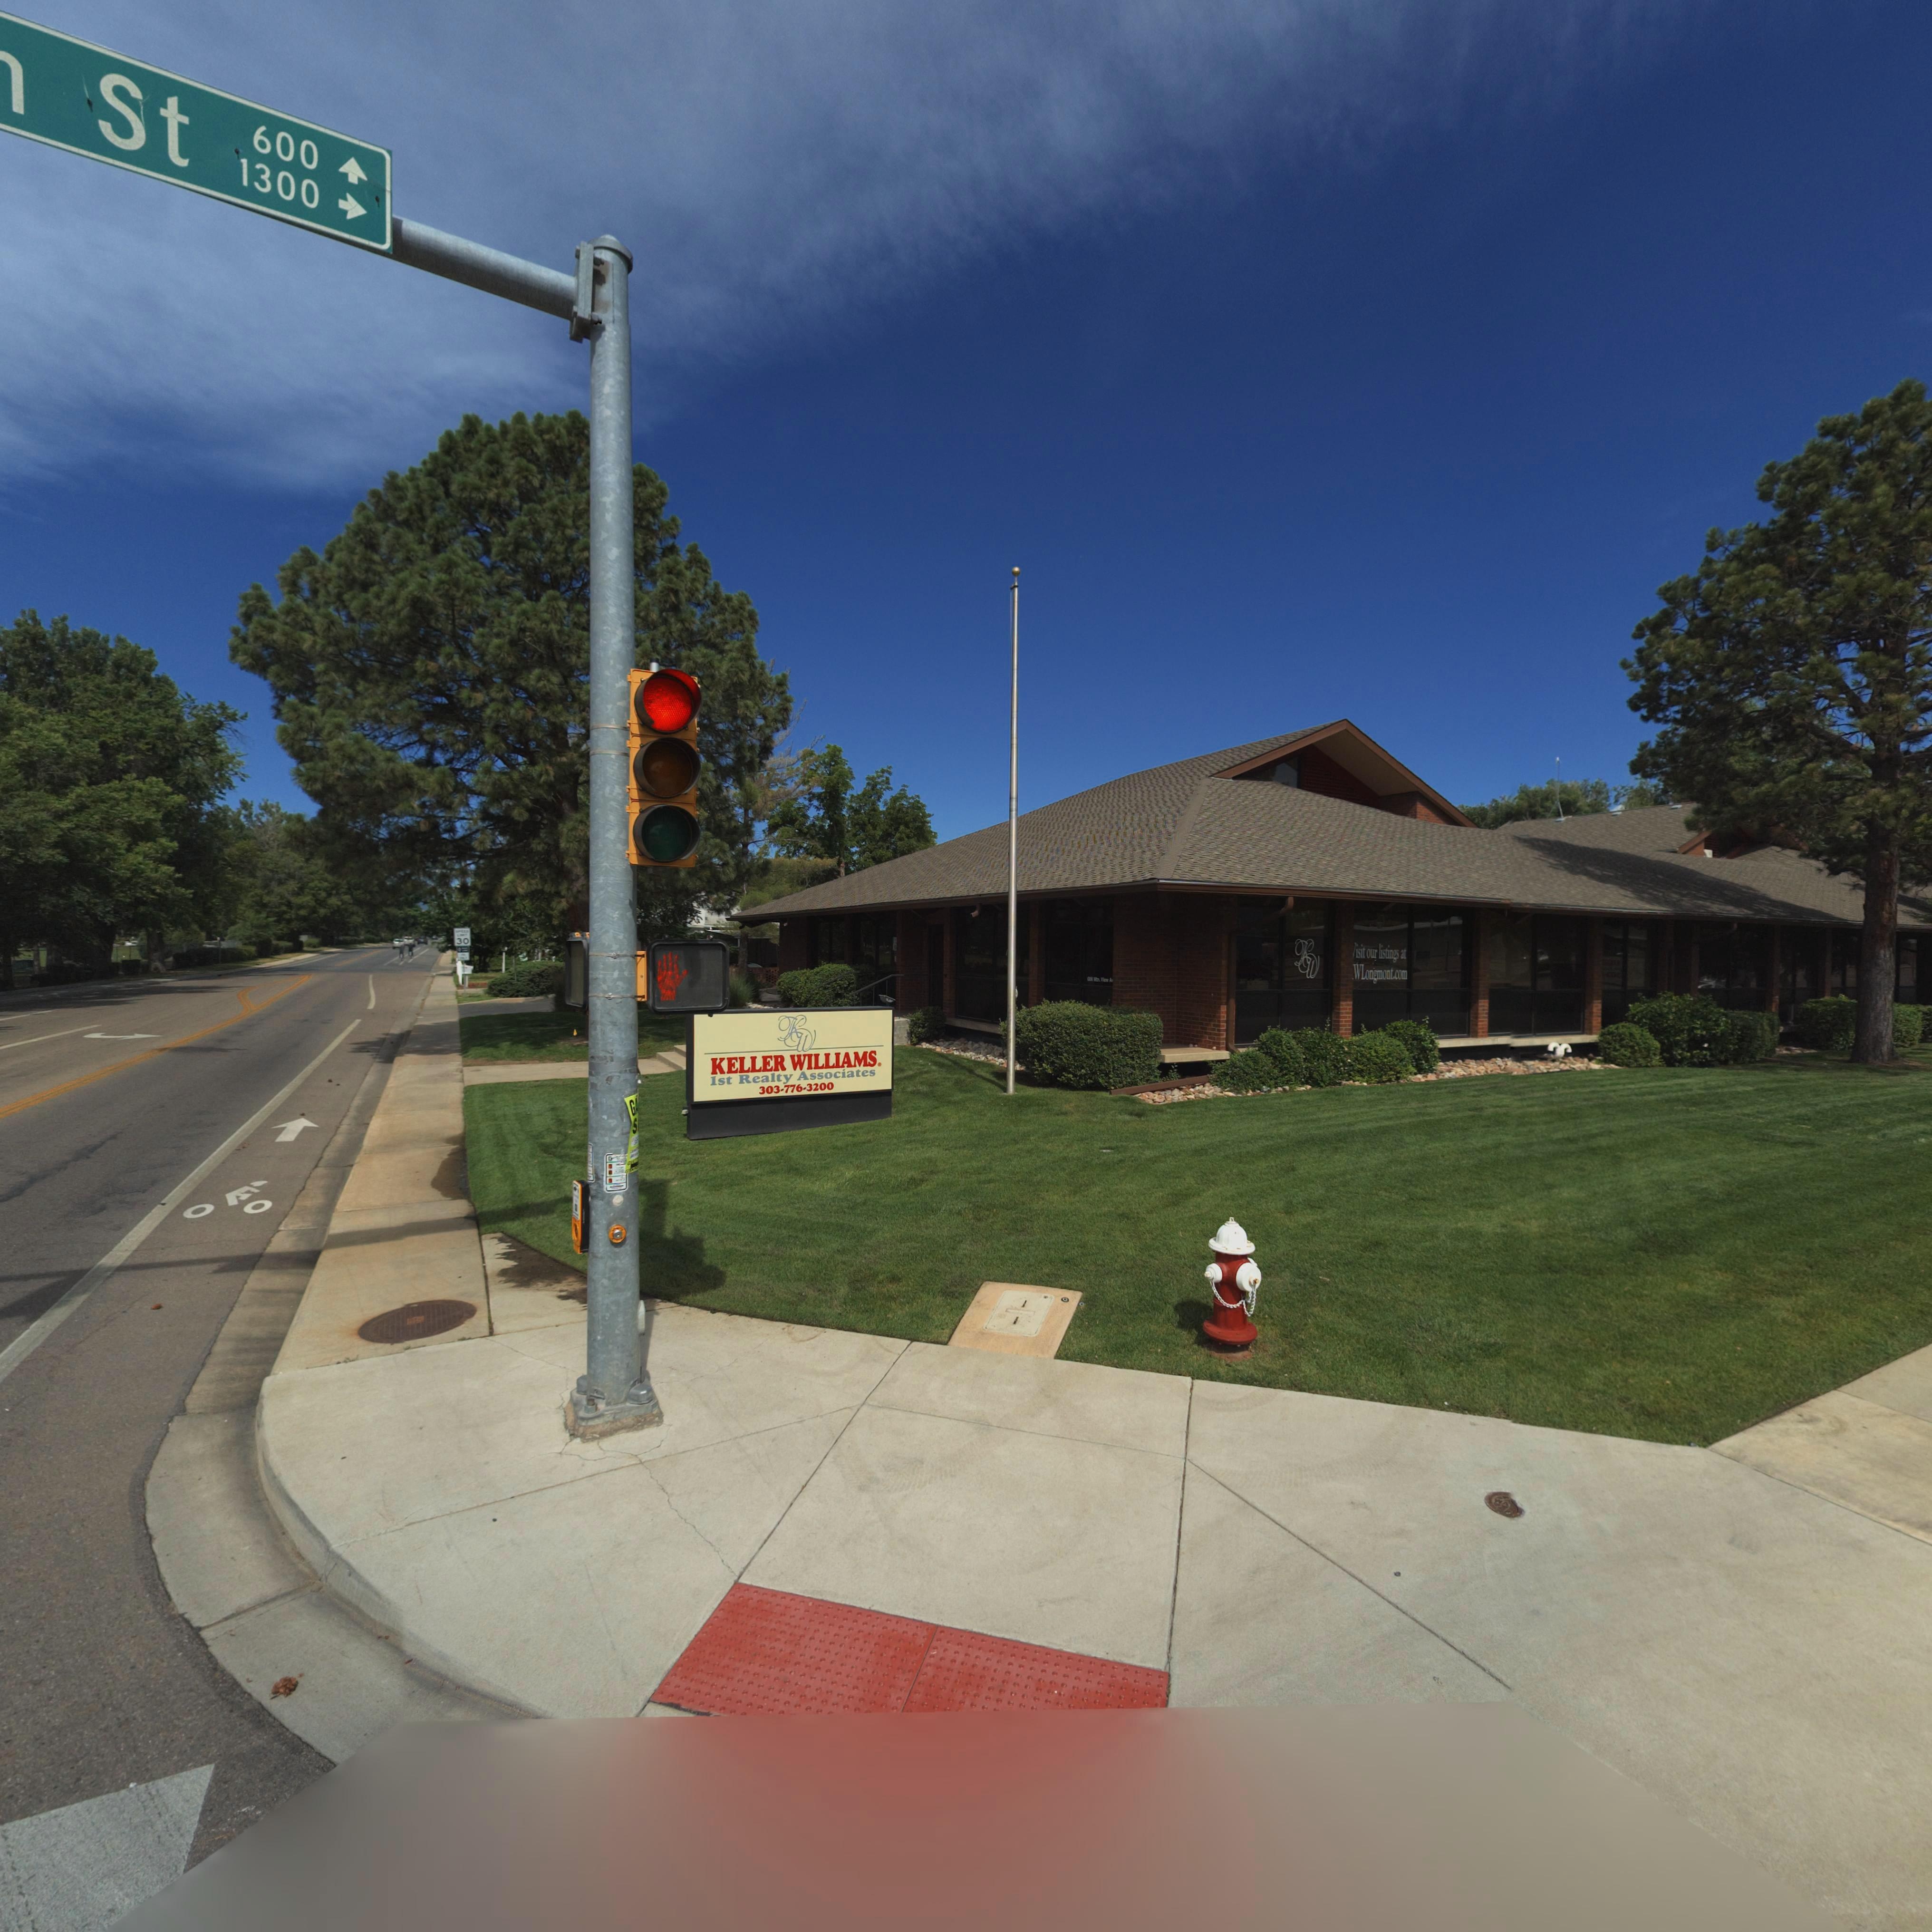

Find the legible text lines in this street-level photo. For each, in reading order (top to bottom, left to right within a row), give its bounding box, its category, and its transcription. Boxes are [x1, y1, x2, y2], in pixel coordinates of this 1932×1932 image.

[97, 71, 189, 167] StreetName: St
[252, 125, 319, 170] StreetNumberRange: 600
[239, 157, 368, 220] StreetNumberRange: 1300->
[1087, 976, 1093, 982] StreetNumber: *0*
[709, 1068, 876, 1086] BusinessName: 1st Realty Associates
[710, 1050, 878, 1075] BusinessName: KELLER WILLIAMS